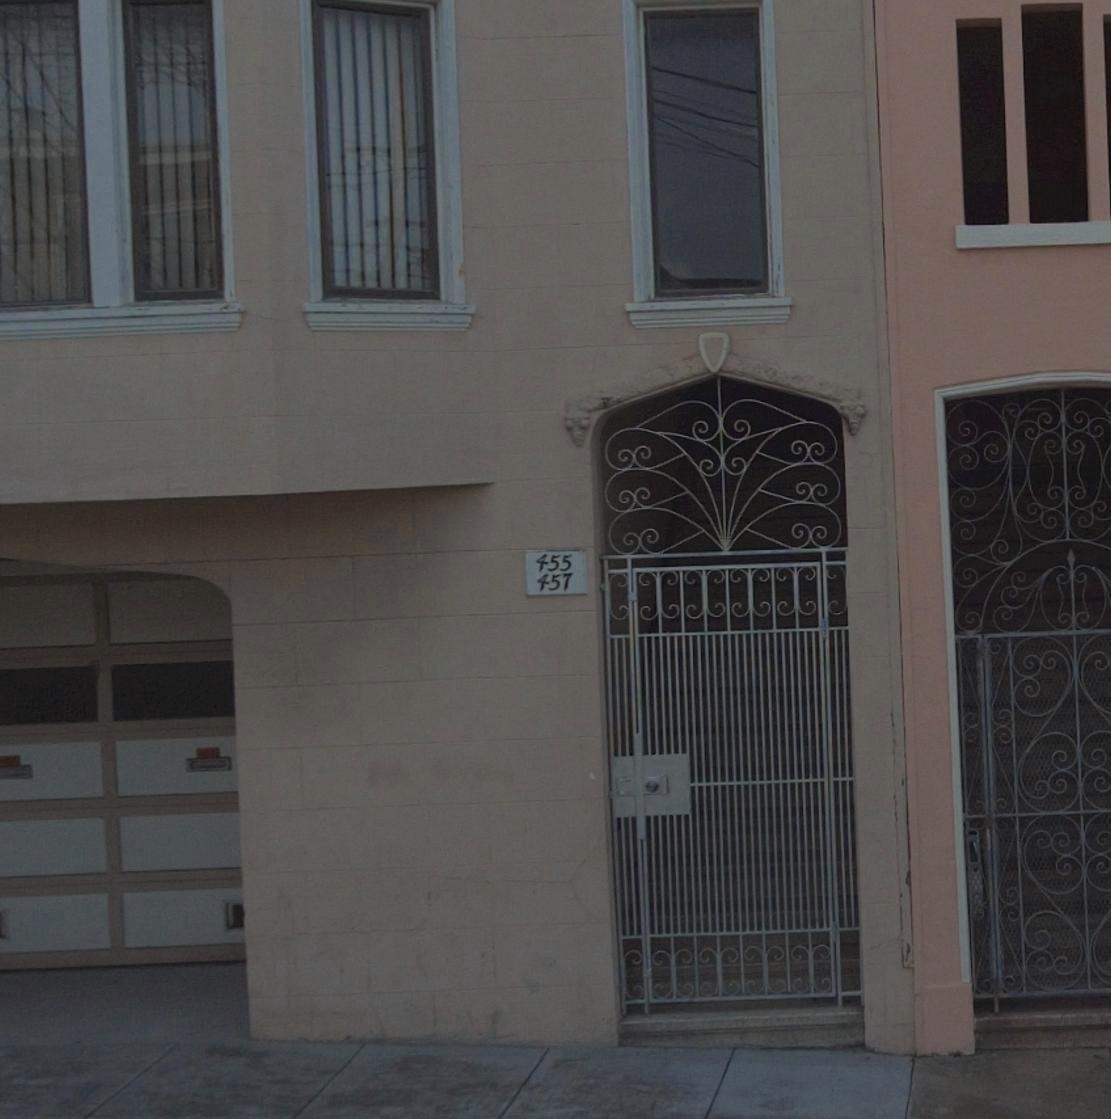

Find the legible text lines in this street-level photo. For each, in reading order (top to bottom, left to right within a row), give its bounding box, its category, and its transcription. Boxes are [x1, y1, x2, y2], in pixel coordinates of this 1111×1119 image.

[535, 553, 574, 573] StreetNumber: 455
[534, 572, 574, 593] StreetNumber: 457